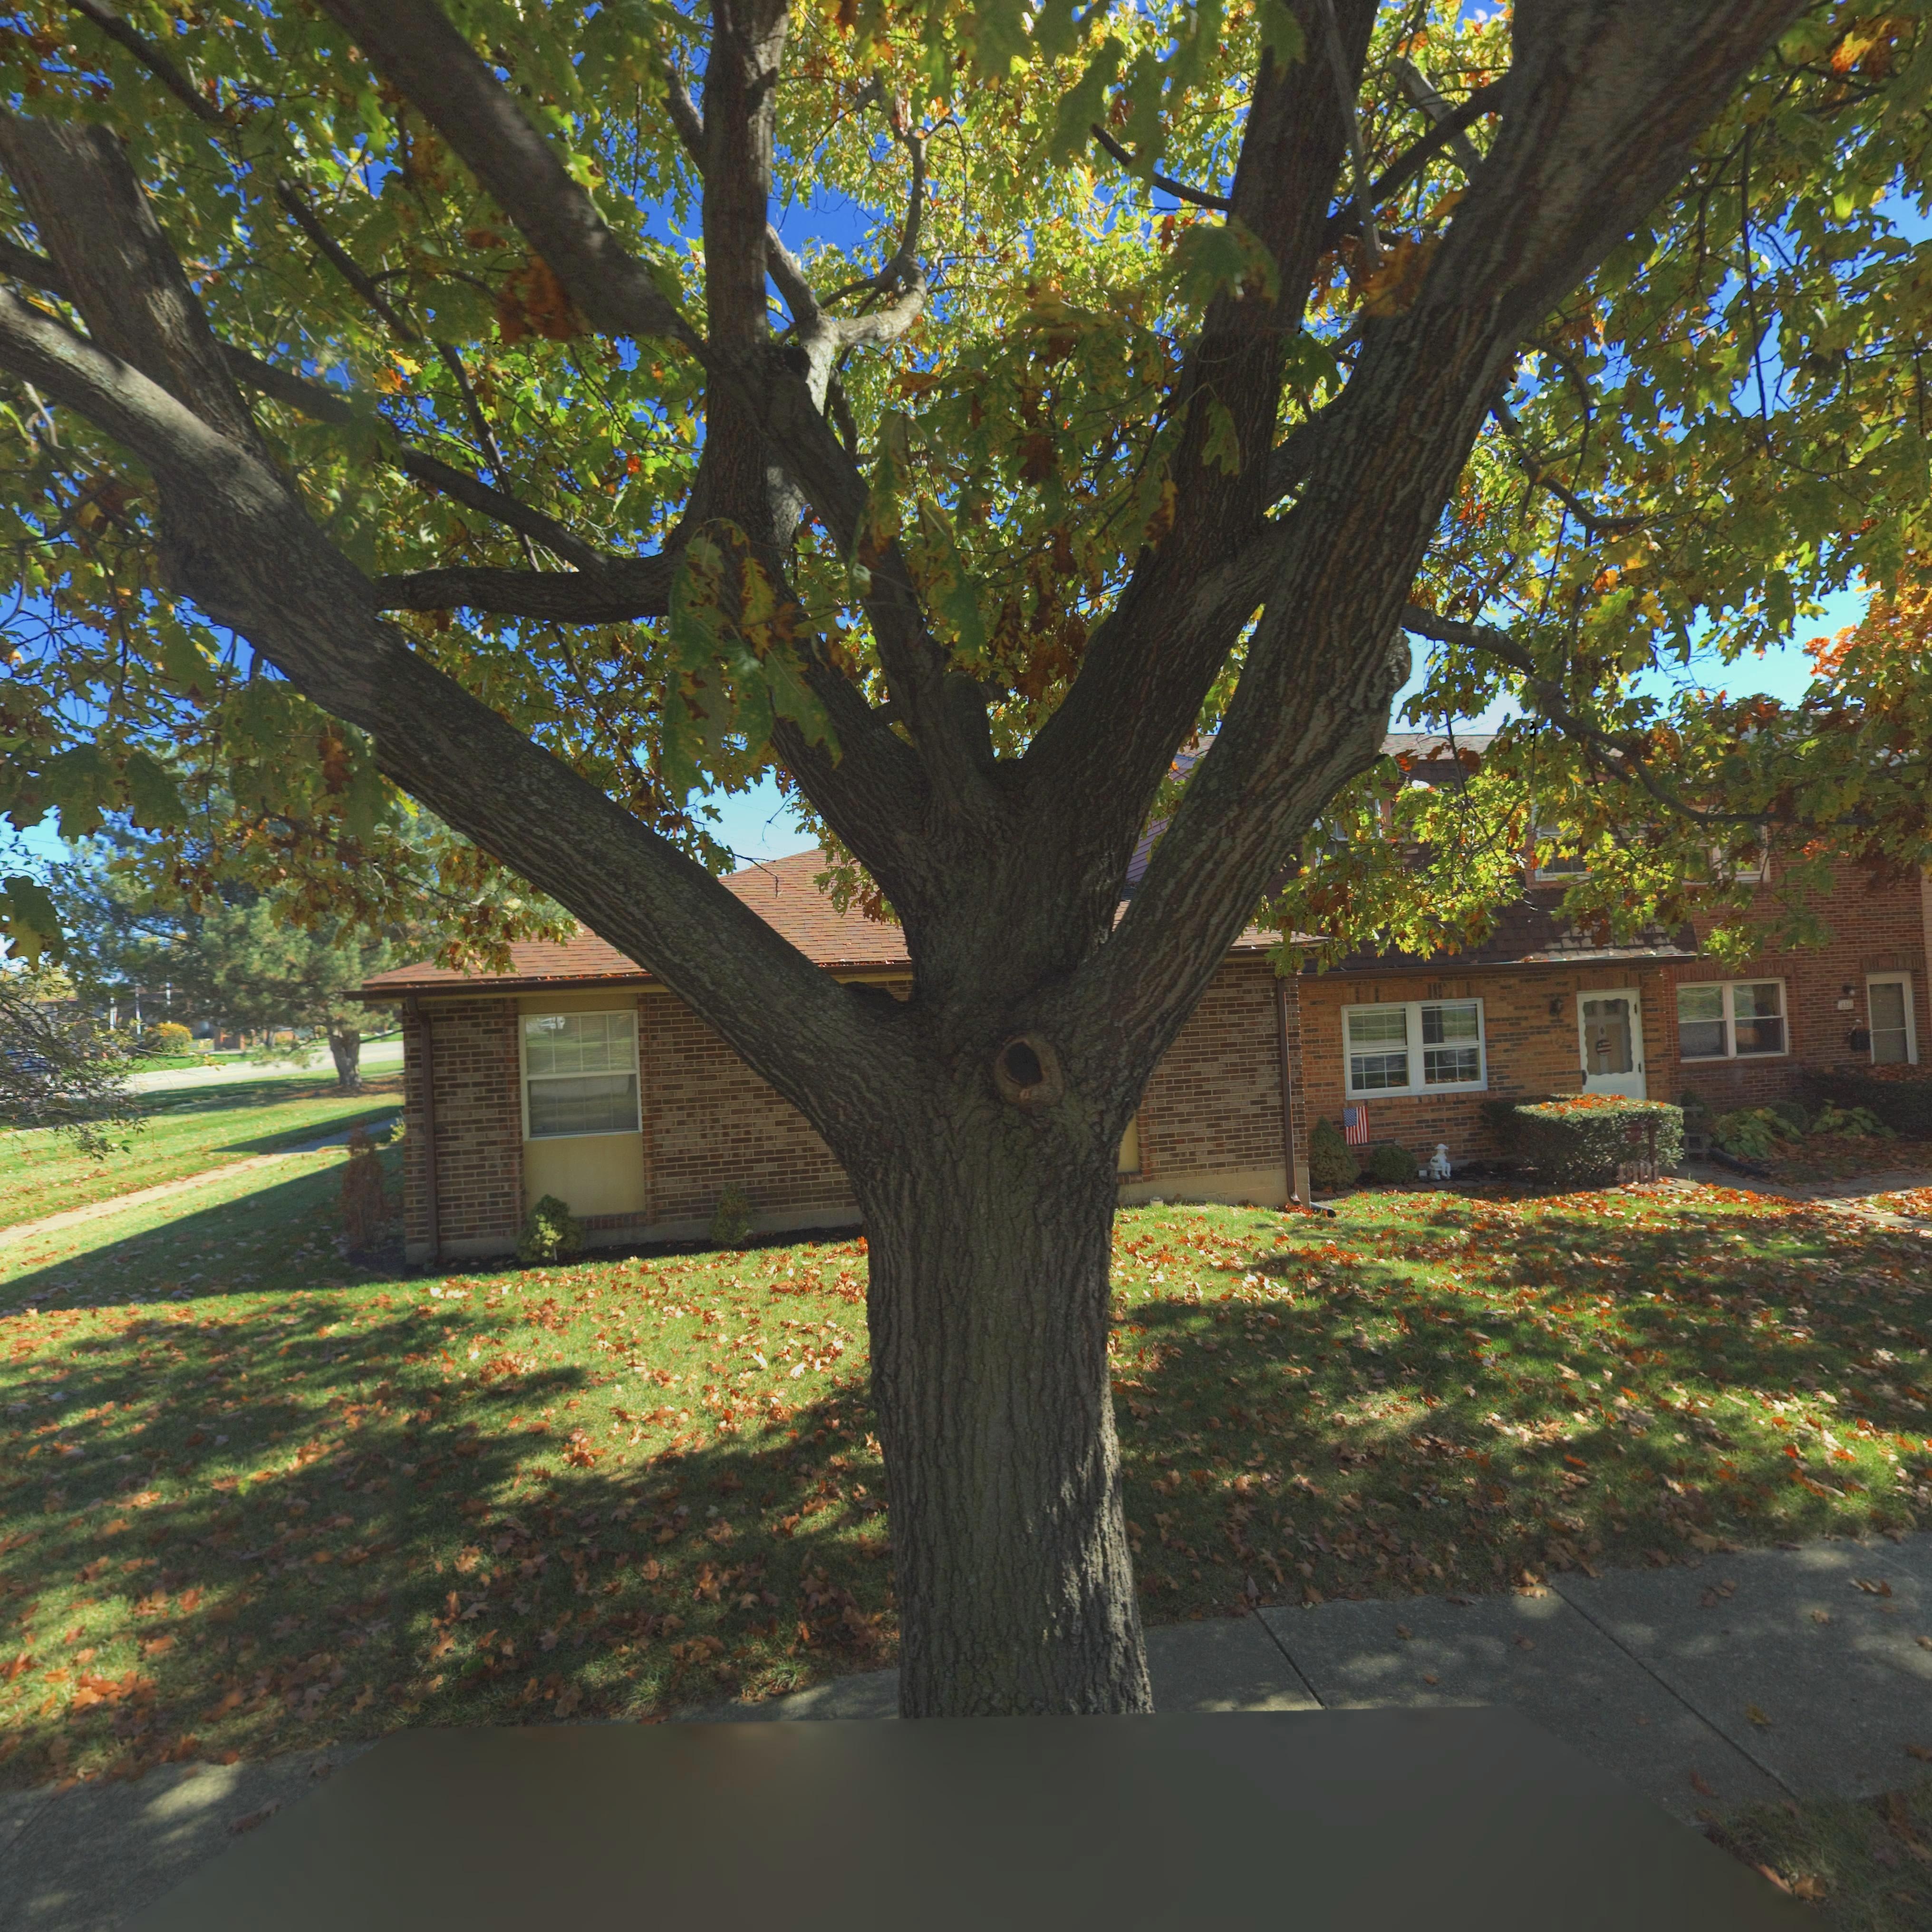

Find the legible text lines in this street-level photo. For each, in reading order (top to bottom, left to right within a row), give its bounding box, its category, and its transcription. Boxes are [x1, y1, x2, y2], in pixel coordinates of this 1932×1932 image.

[1549, 1037, 1567, 1046] StreetNumber: *0*